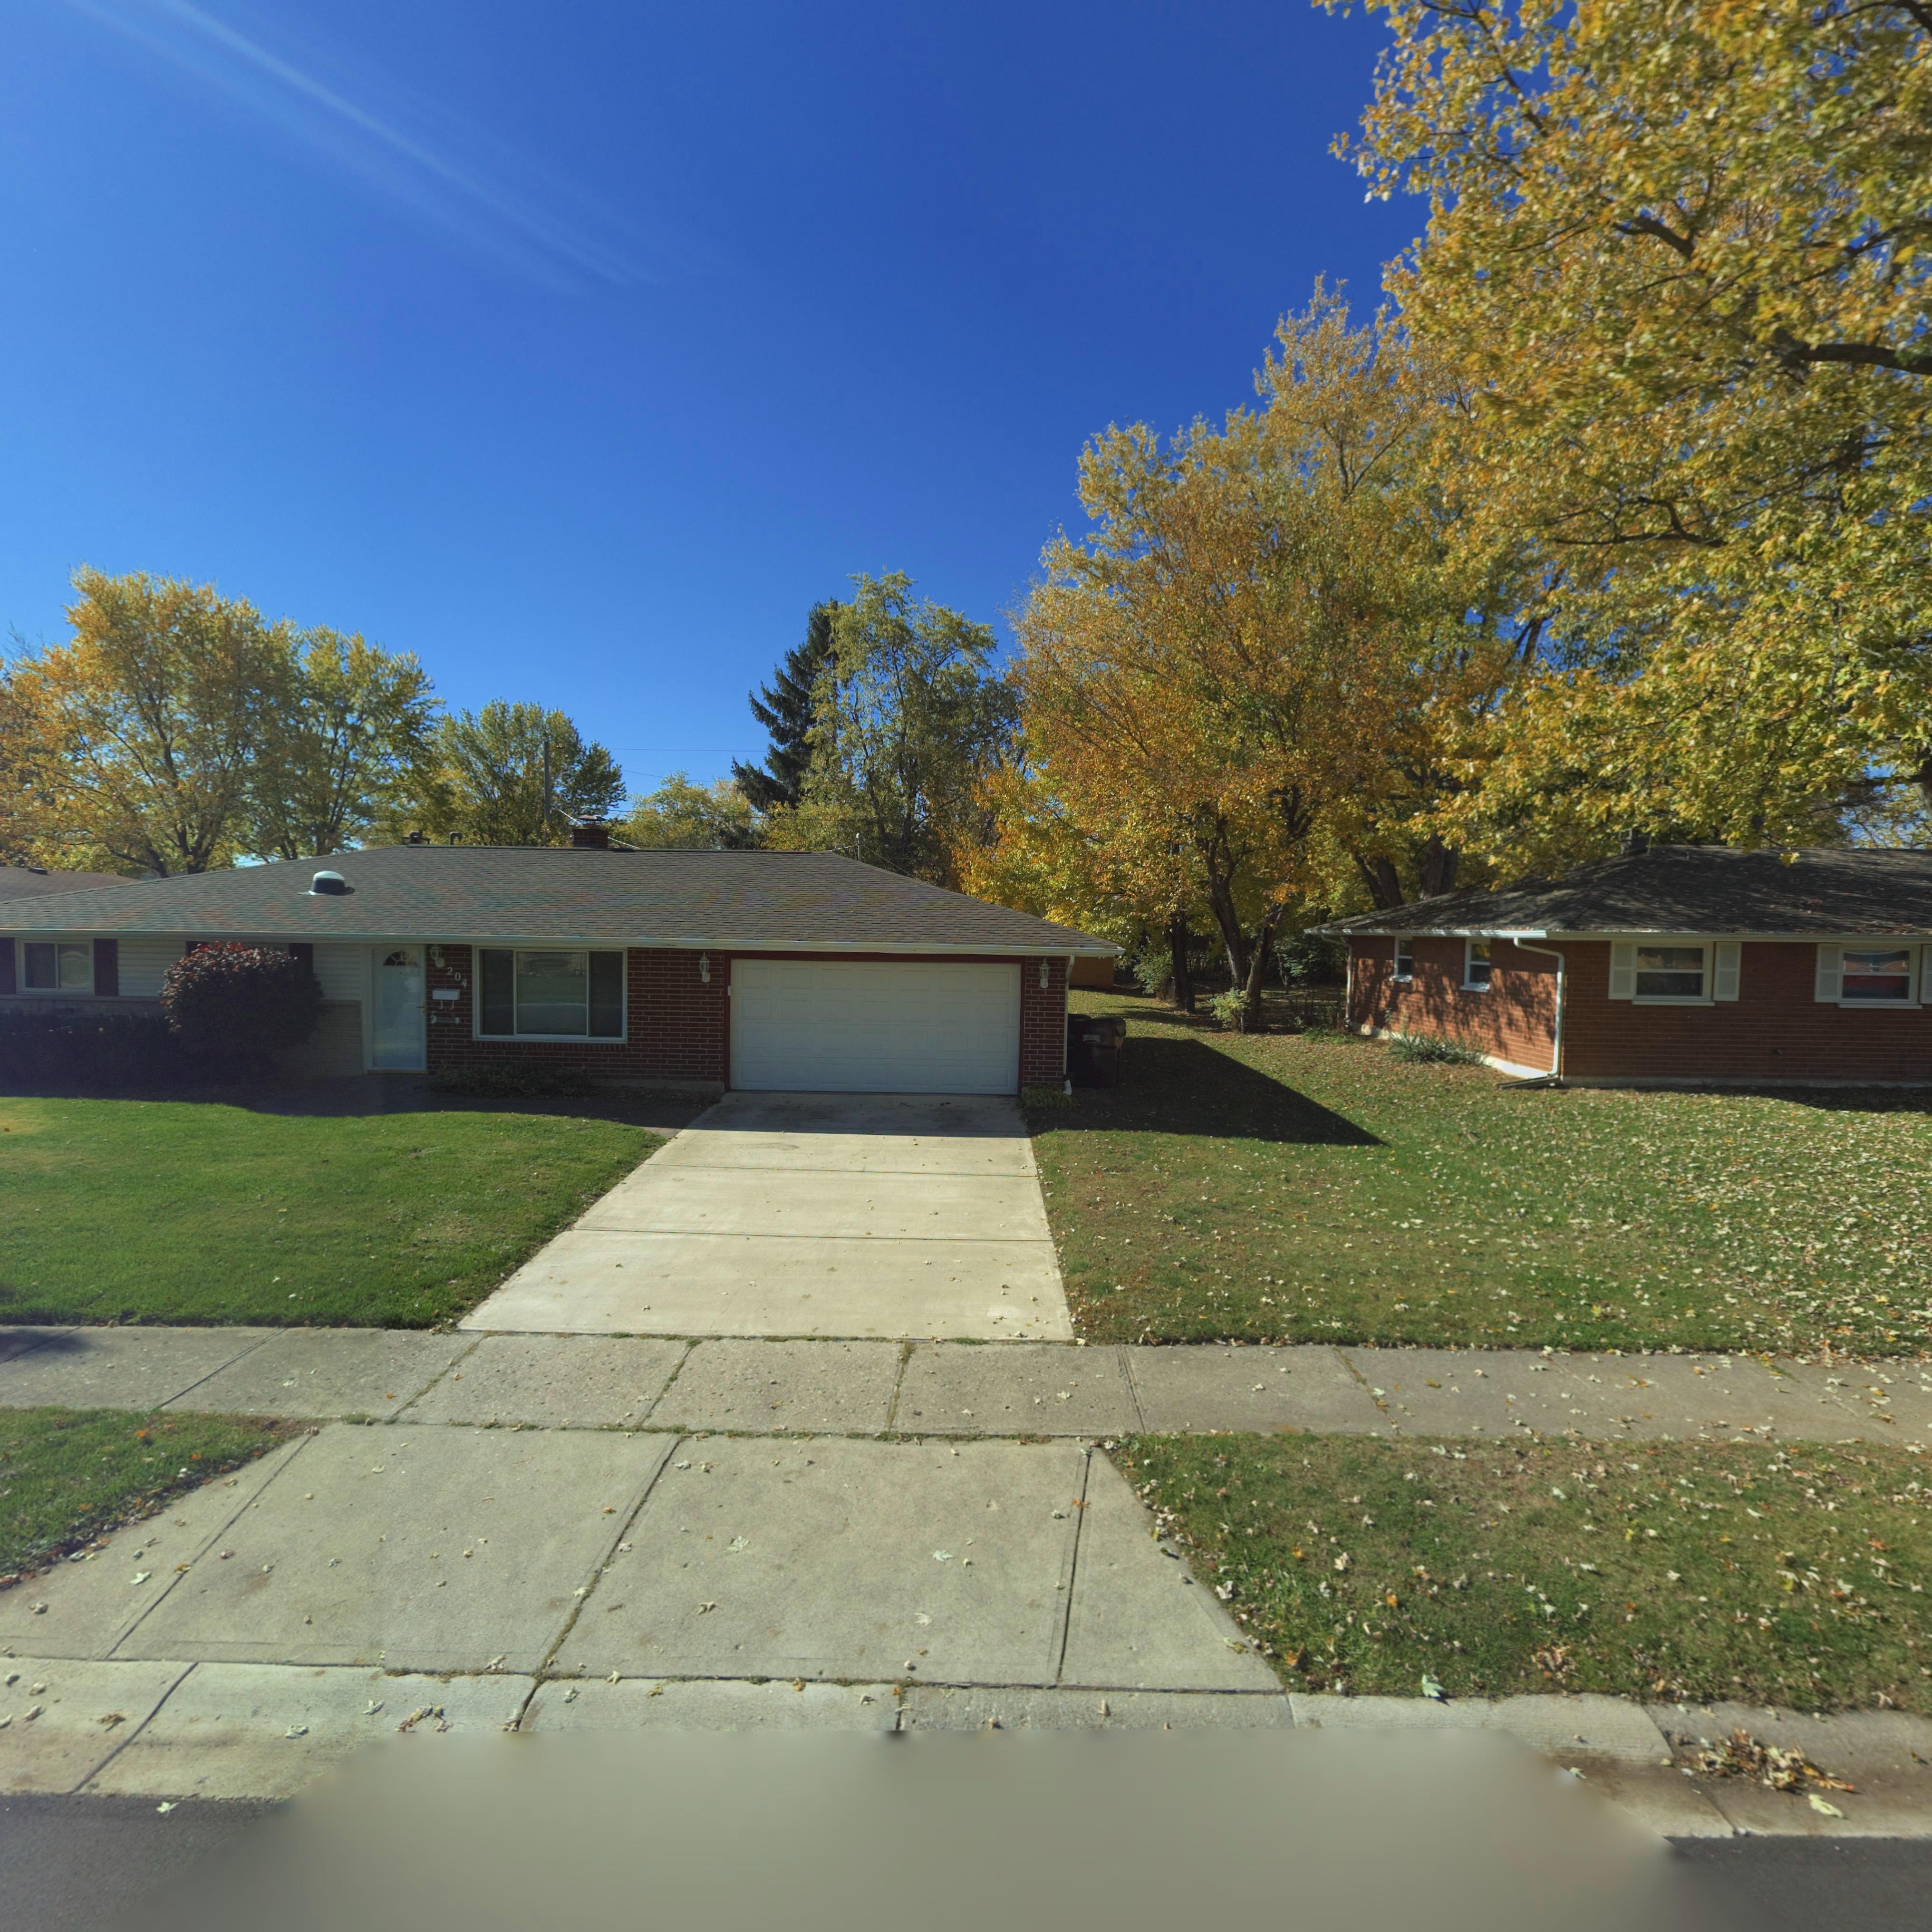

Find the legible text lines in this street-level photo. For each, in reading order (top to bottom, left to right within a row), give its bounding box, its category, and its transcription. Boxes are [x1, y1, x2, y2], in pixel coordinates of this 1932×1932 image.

[445, 966, 468, 988] StreetNumber: 204